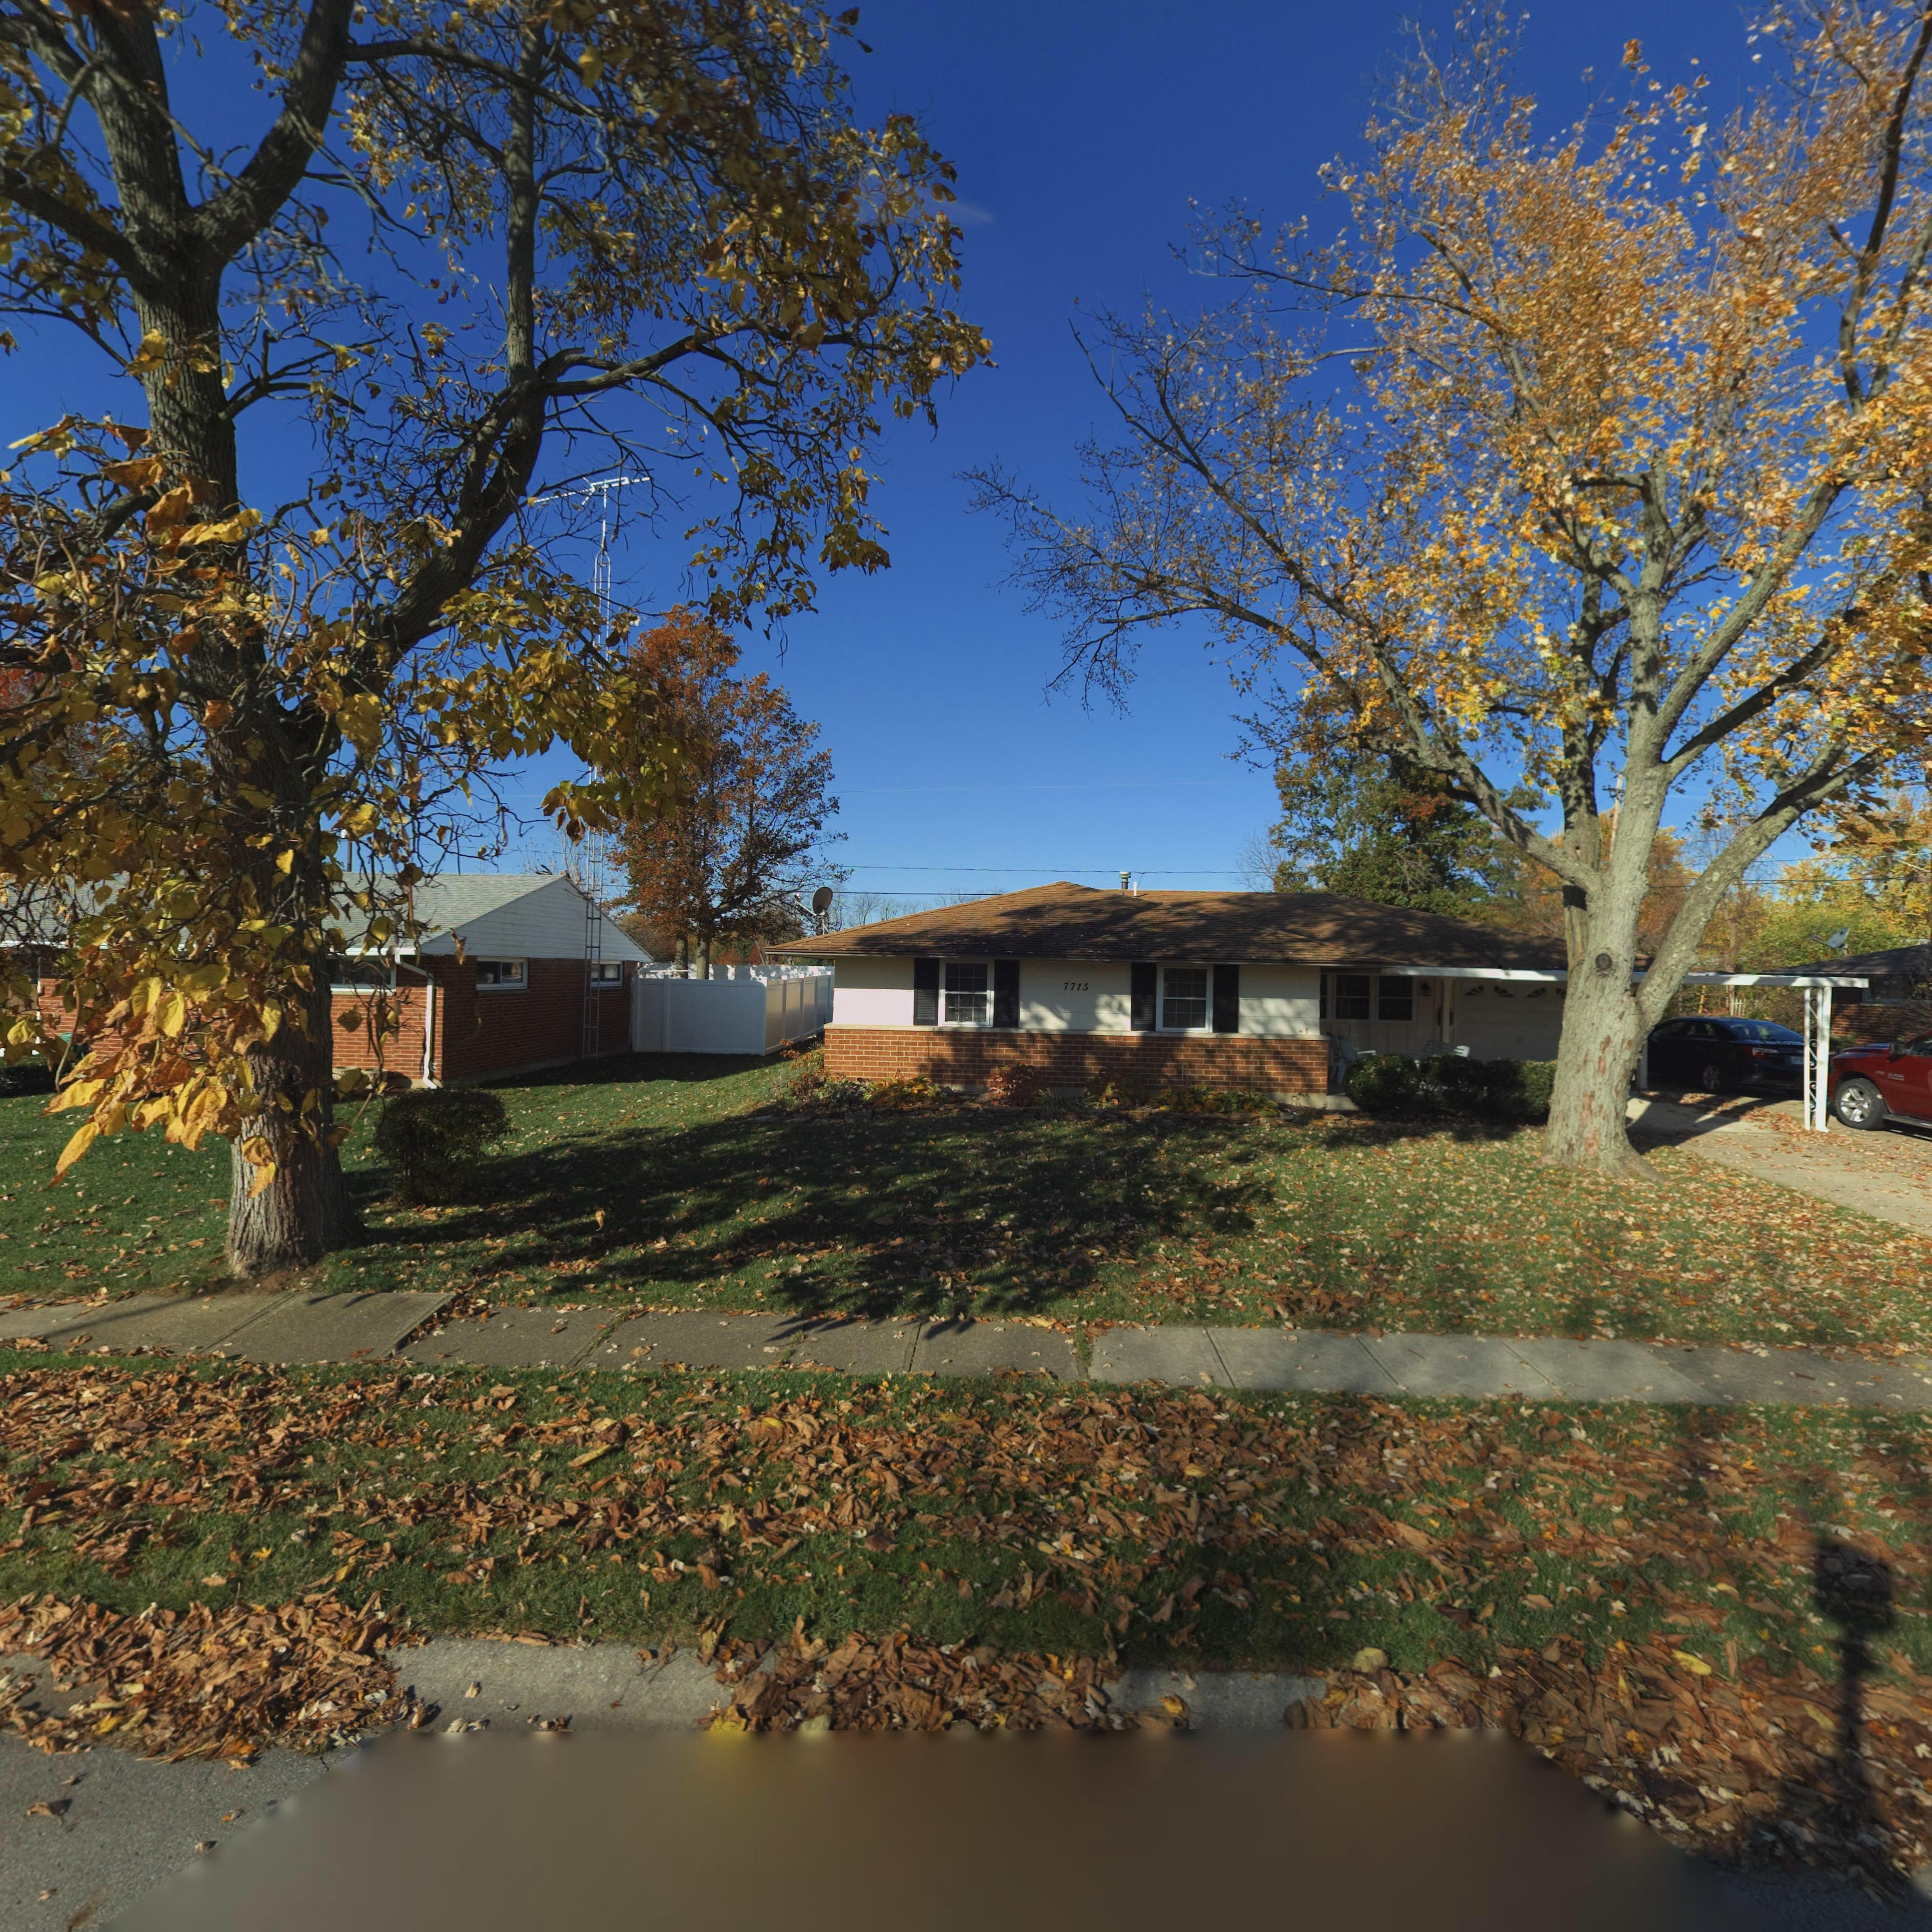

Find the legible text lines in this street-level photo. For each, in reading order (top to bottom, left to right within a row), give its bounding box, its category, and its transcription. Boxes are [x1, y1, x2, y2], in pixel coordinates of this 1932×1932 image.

[1063, 981, 1090, 992] StreetNumber: 7715